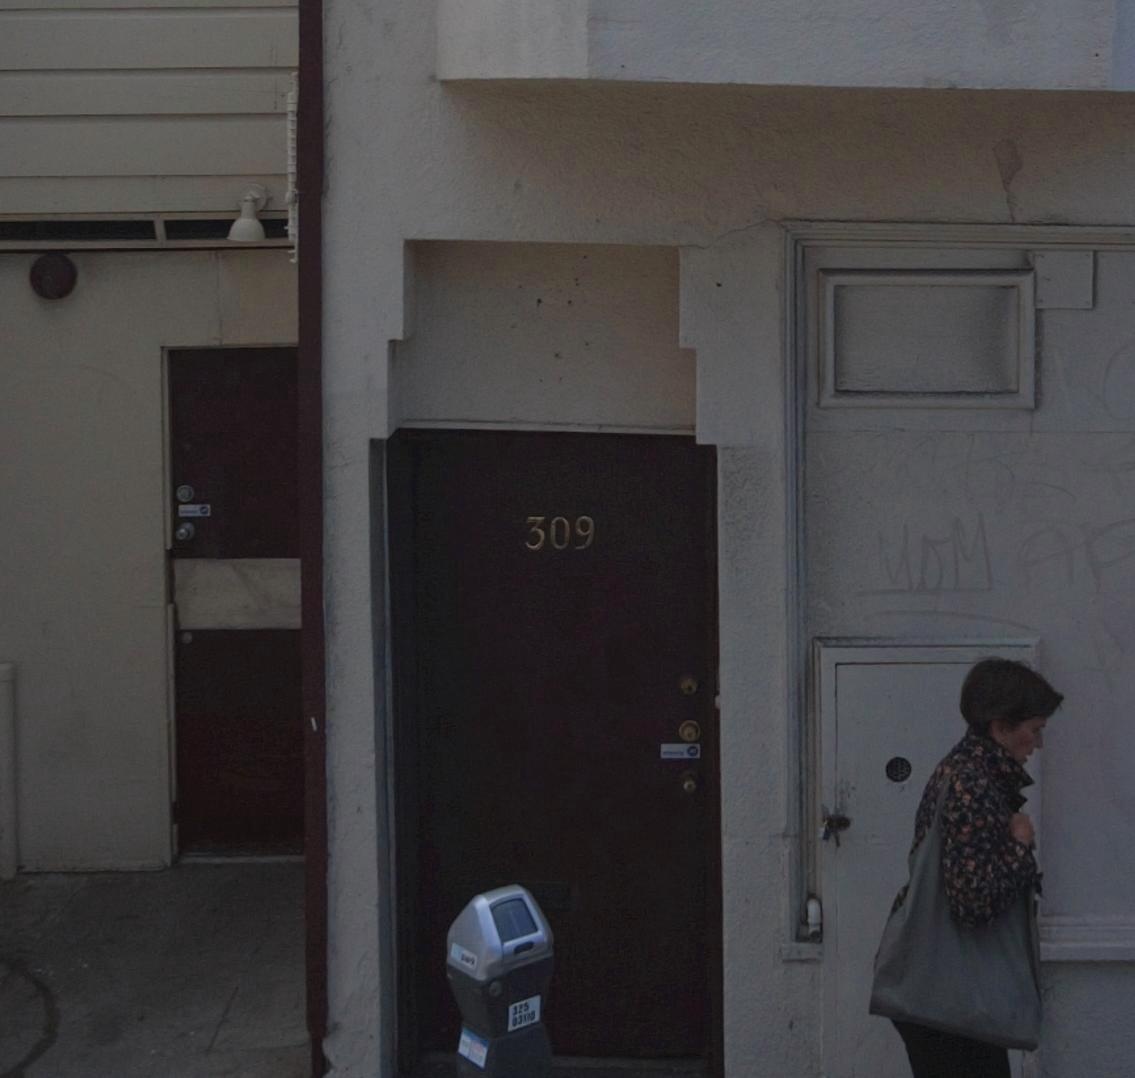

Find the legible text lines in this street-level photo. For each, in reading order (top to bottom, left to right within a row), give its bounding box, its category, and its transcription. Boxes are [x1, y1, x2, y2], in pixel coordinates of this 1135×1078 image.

[521, 514, 597, 554] StreetNumber: 309